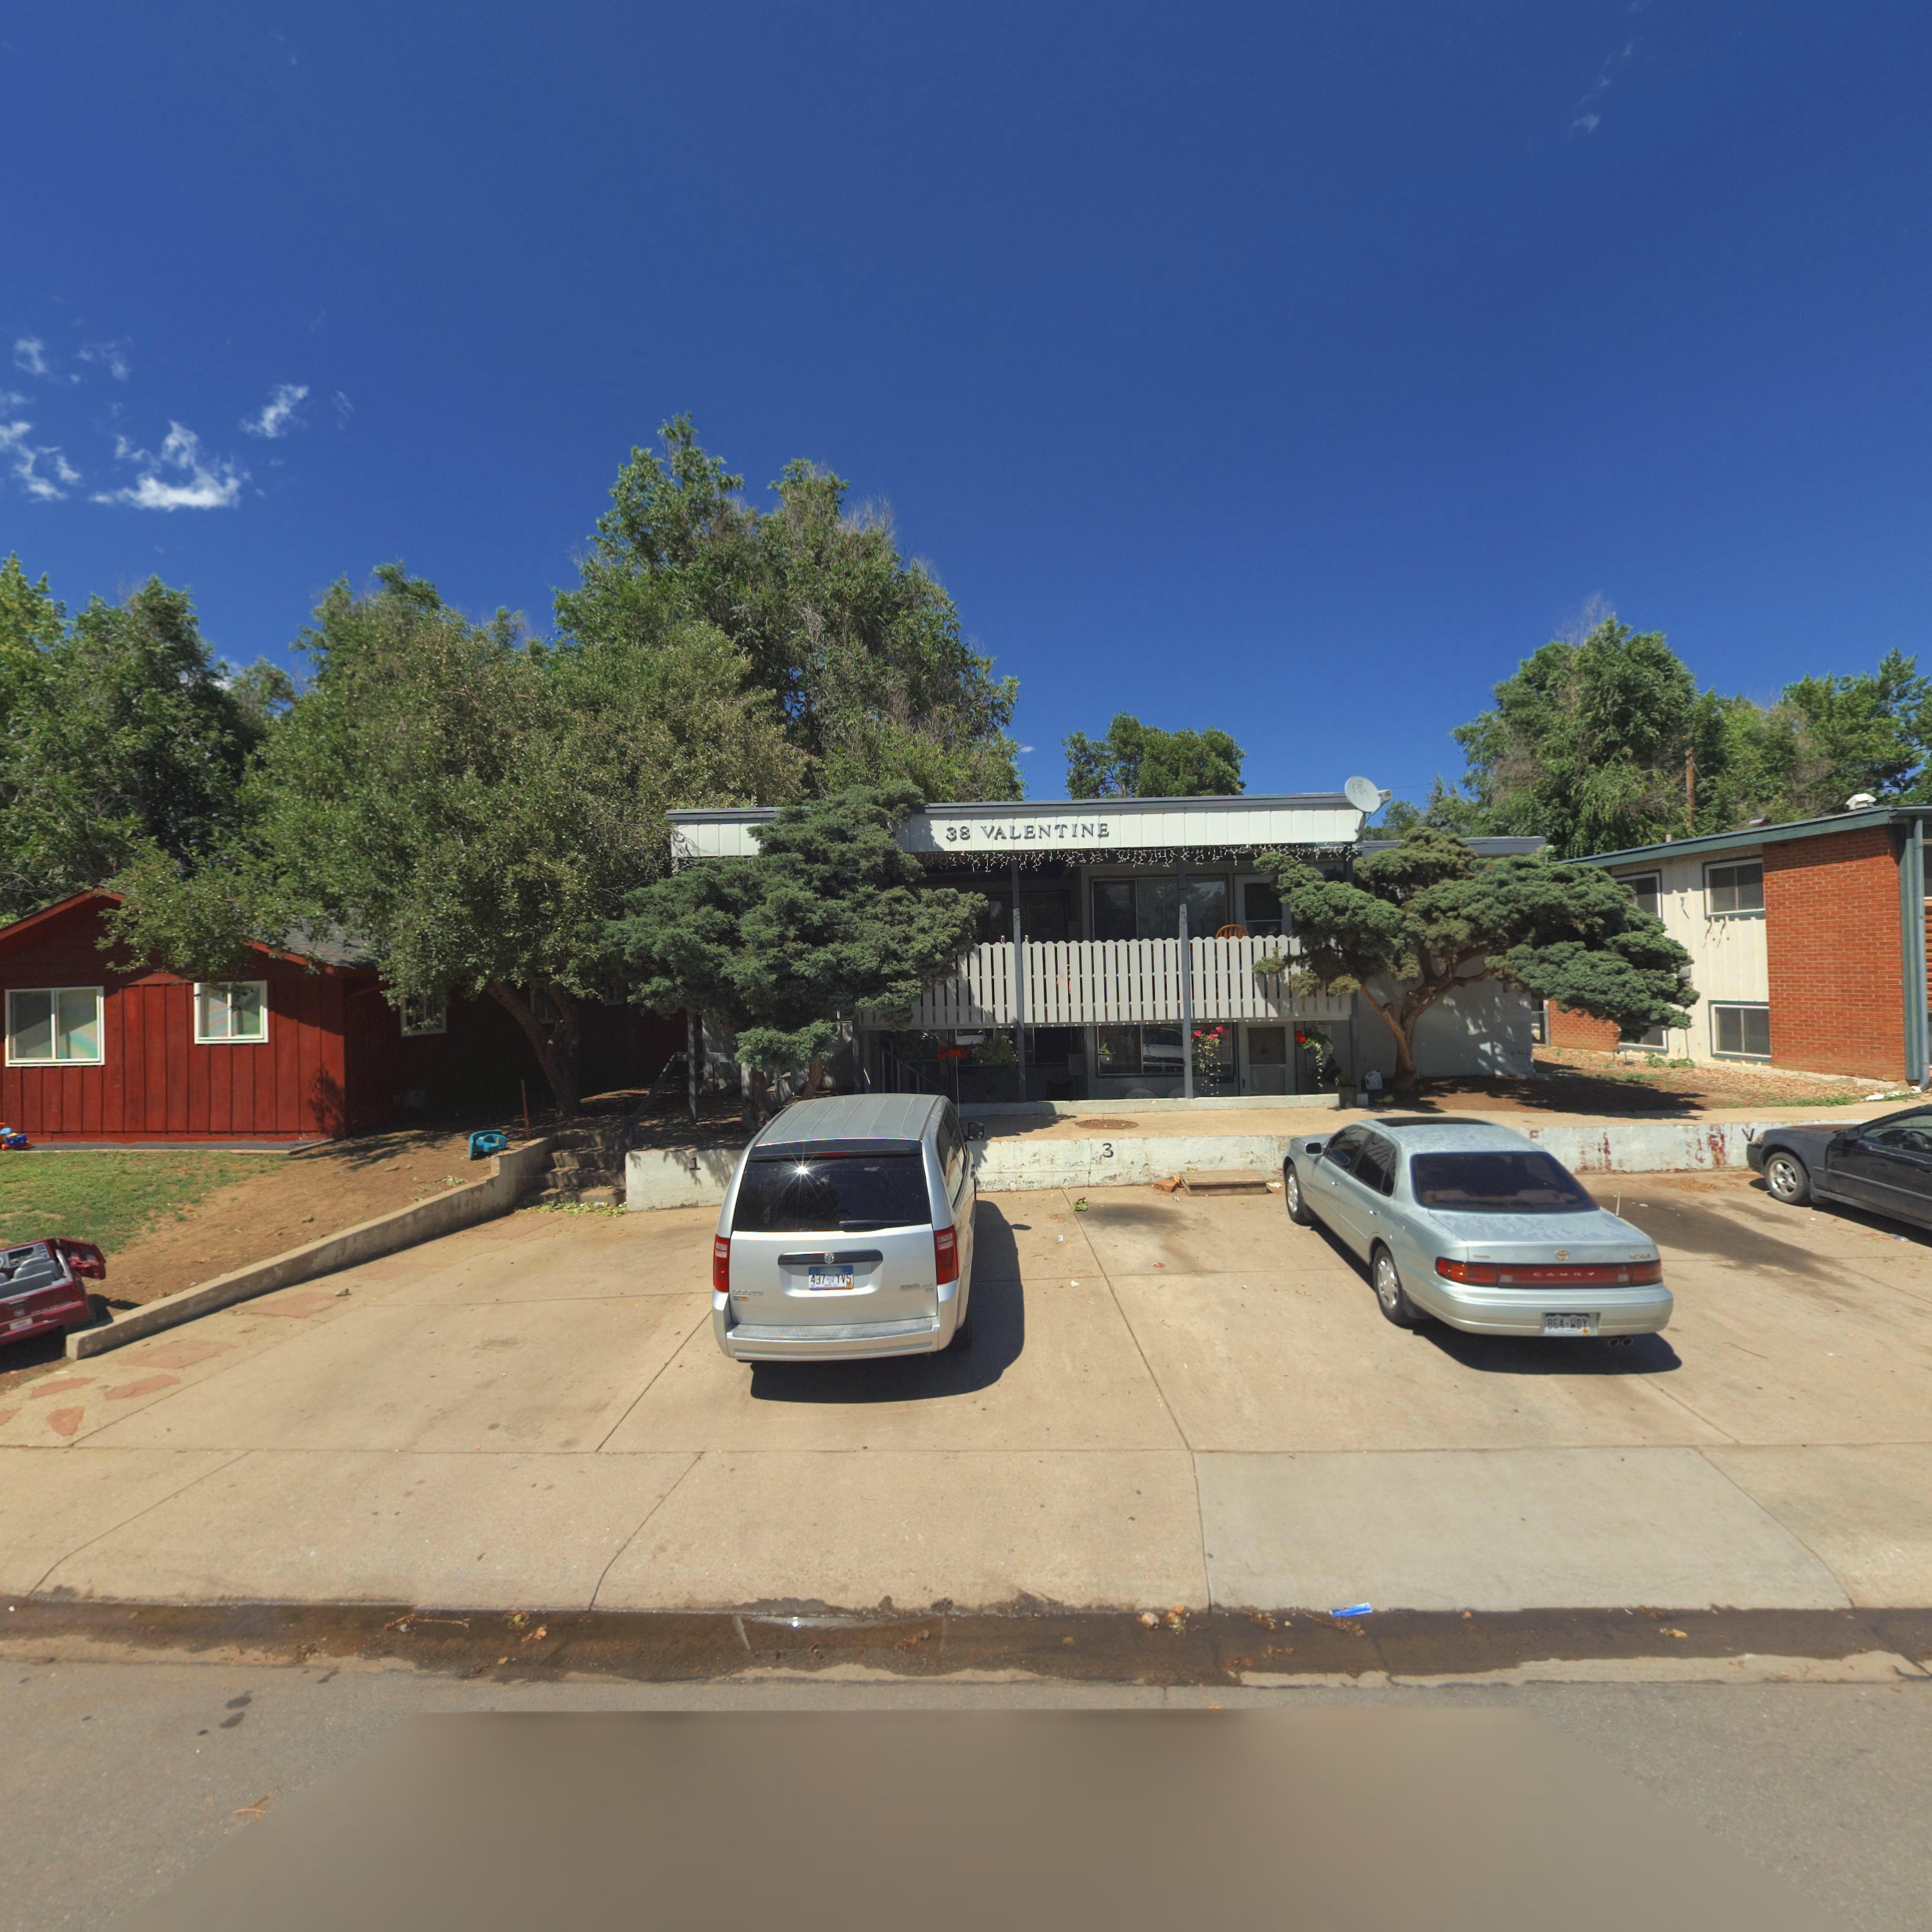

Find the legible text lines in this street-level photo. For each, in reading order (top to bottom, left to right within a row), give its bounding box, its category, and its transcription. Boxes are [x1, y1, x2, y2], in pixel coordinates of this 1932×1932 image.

[945, 825, 971, 840] StreetNumber: 38
[979, 821, 1110, 839] StreetName: VALENTINE